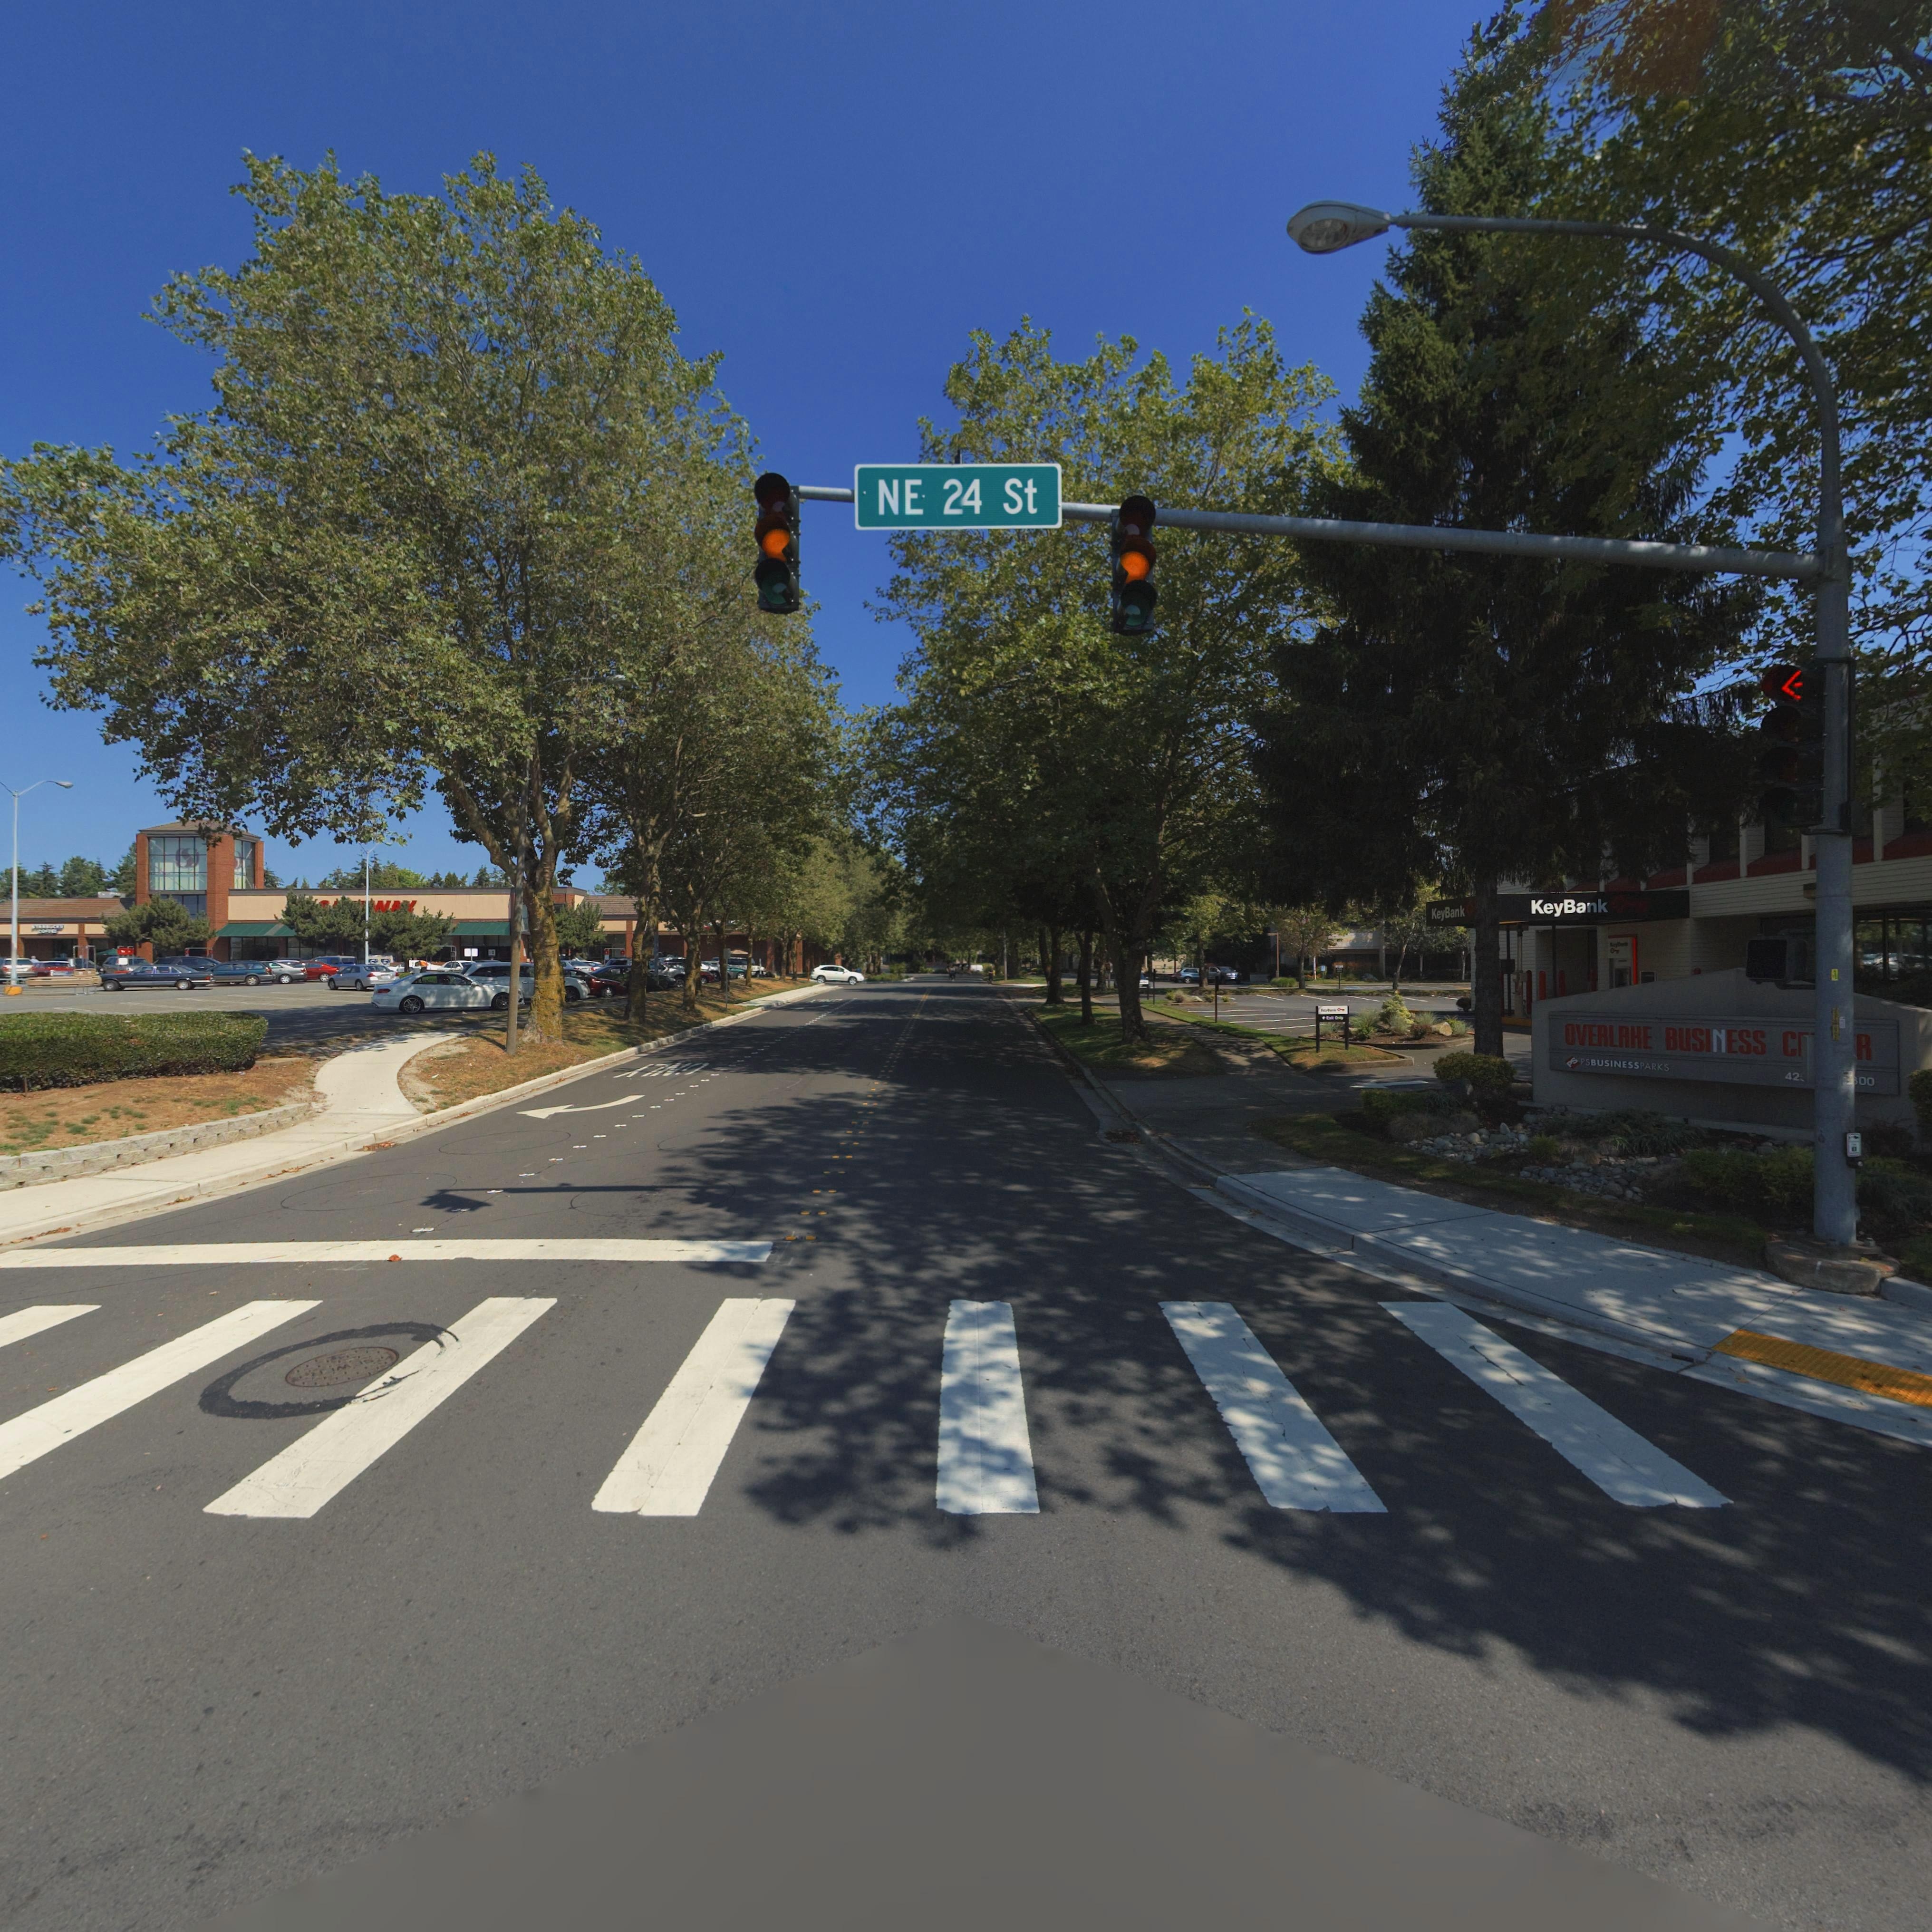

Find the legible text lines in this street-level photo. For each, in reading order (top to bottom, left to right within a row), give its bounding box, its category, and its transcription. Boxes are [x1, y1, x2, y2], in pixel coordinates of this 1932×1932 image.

[879, 478, 1037, 515] StreetName: NE 24 St
[1432, 905, 1465, 921] BusinessName: KeyBank
[1531, 899, 1608, 917] BusinessName: KeyBank
[1565, 1024, 1872, 1060] None: OVER*ARE BUSINESS C****R